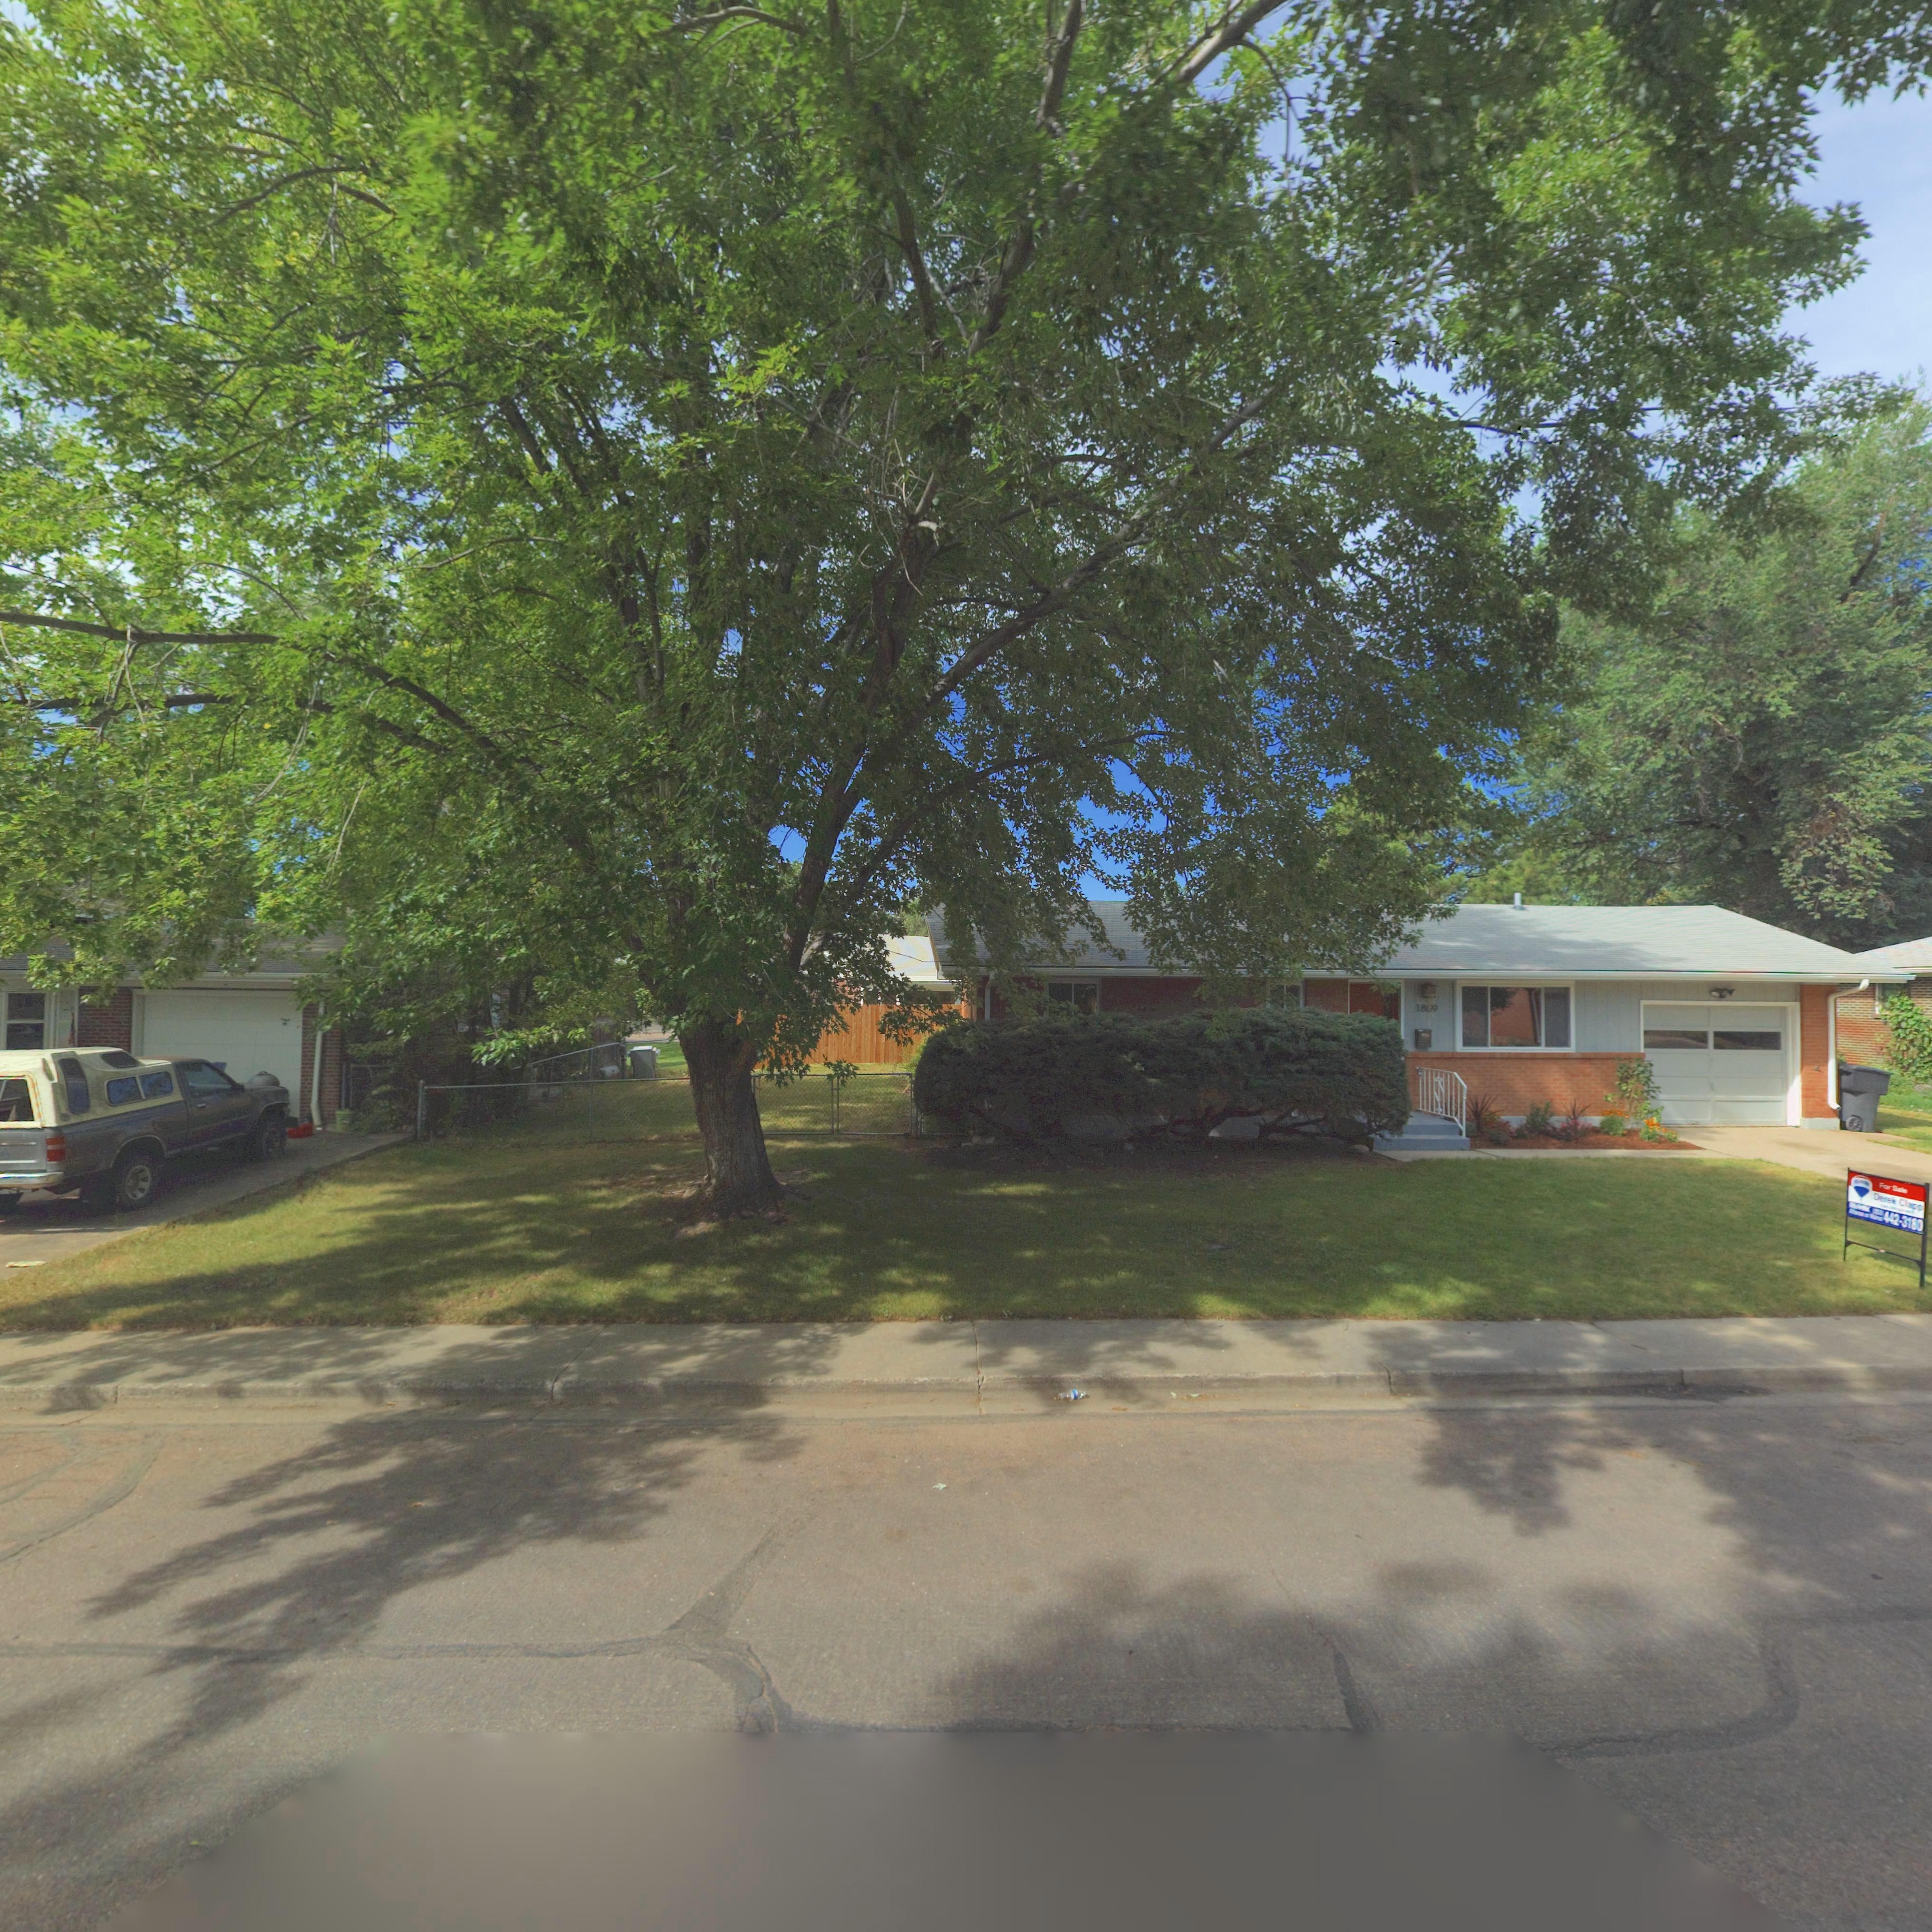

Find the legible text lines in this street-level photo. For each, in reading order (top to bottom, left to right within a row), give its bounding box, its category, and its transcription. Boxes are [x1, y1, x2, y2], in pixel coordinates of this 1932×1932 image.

[1416, 1004, 1438, 1013] StreetNumber: 18*9